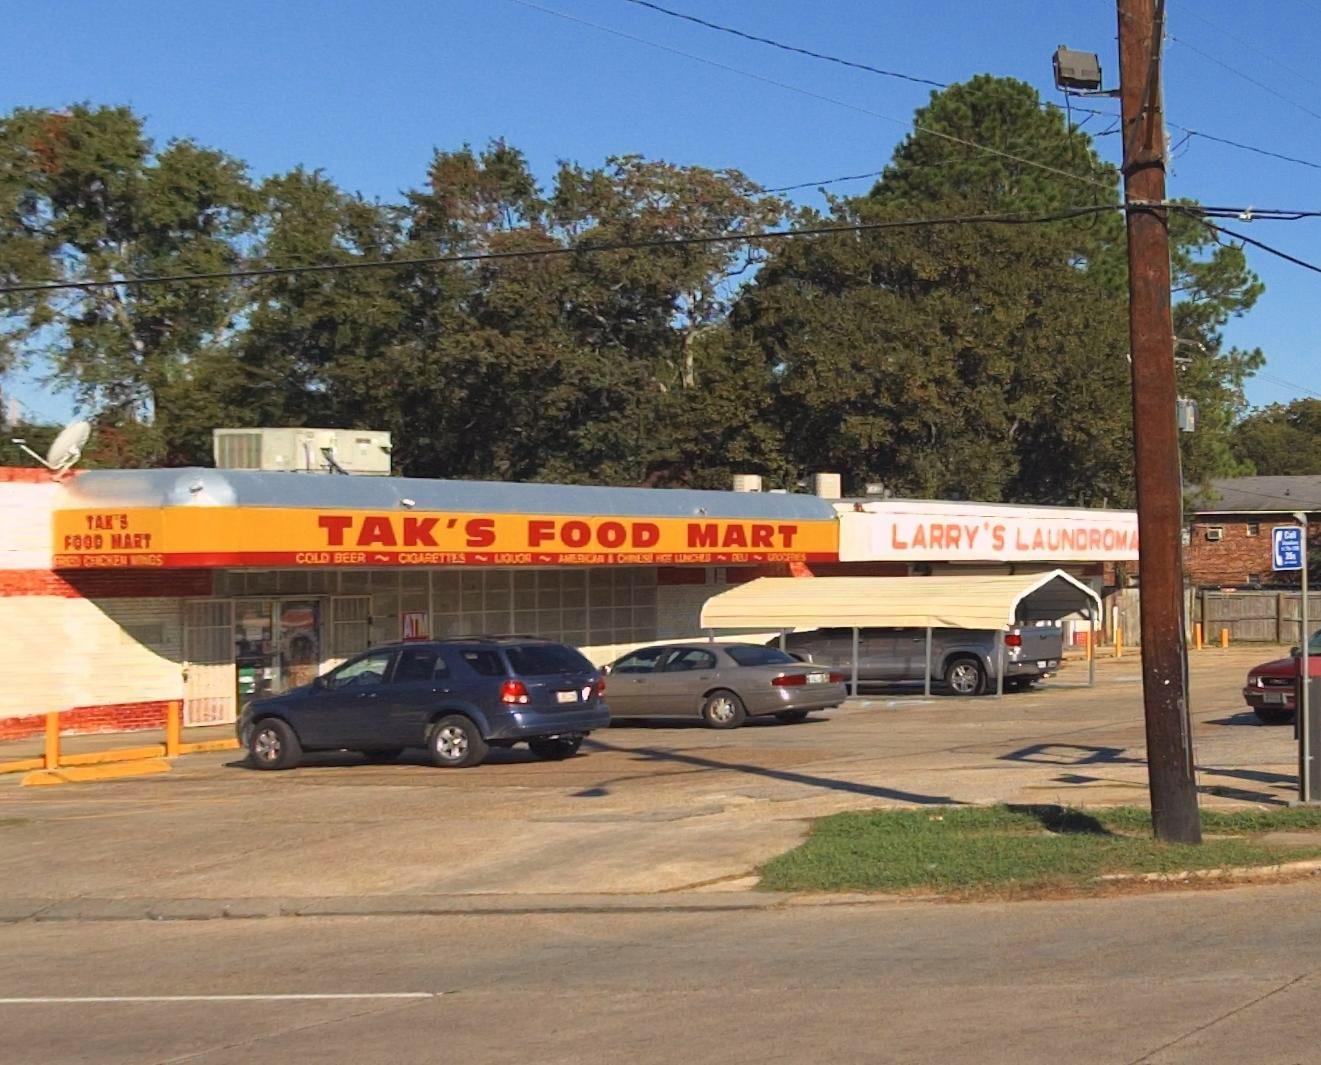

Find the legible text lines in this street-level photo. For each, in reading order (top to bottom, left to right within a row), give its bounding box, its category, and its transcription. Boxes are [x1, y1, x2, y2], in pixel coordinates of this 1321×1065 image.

[82, 512, 131, 532] BusinessName: TAK'S
[62, 531, 154, 553] BusinessName: FOOD MART
[316, 512, 800, 551] BusinessName: TAK'S FOOD MART
[889, 519, 1142, 554] BusinessName: LARRY'S LAUNDROMA
[1282, 528, 1299, 540] None: Call
[292, 550, 535, 566] None: COLD BEER * CIGARETTES * LIQUOR
[401, 612, 432, 641] None: ATM